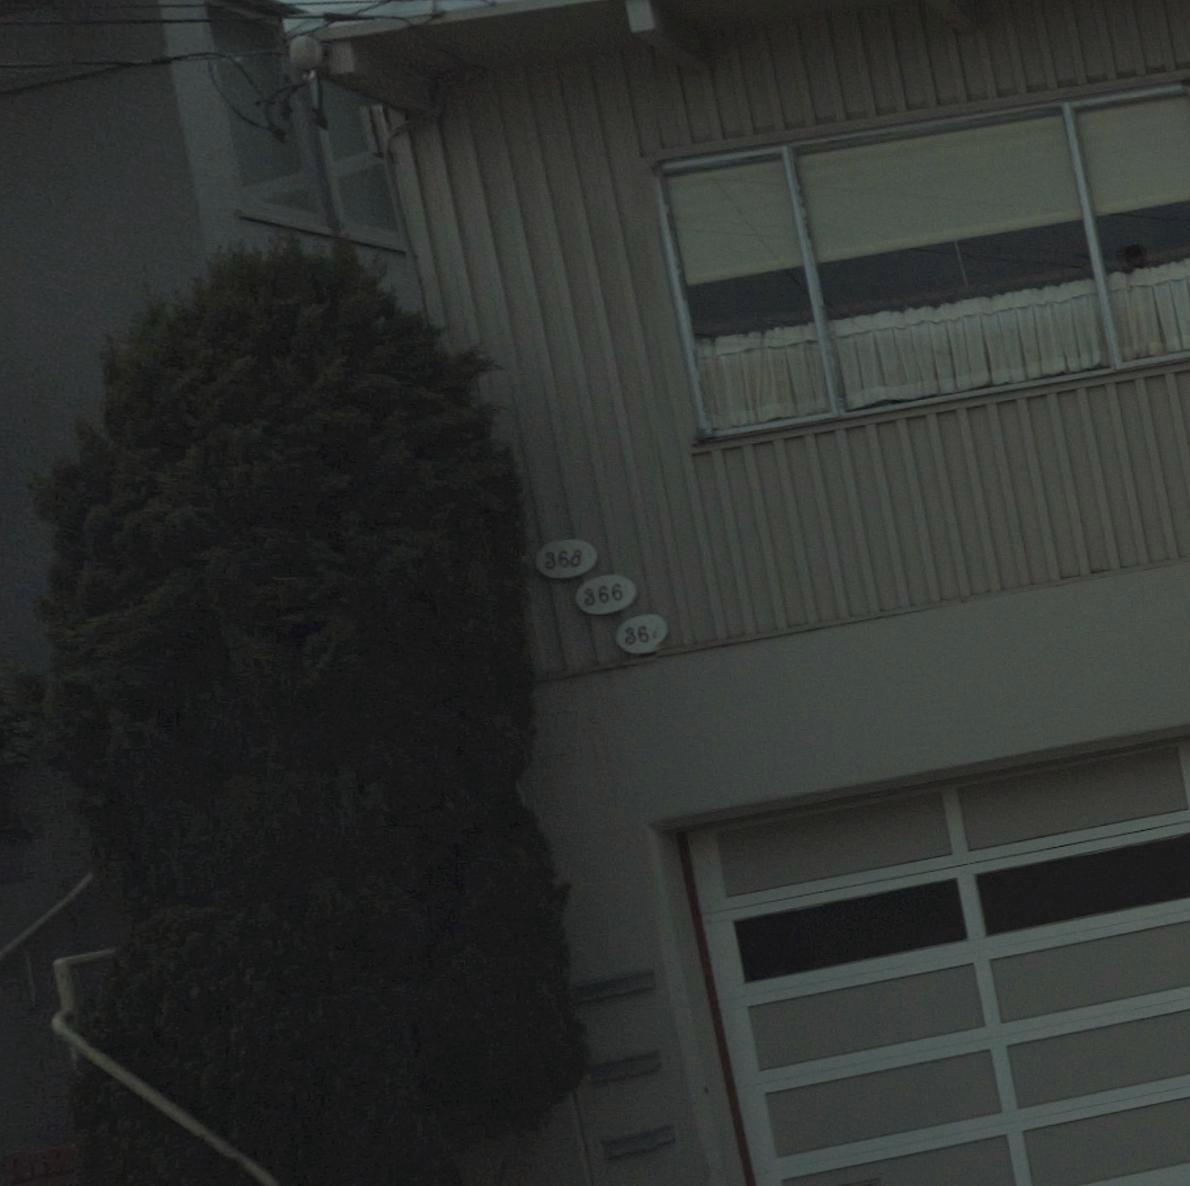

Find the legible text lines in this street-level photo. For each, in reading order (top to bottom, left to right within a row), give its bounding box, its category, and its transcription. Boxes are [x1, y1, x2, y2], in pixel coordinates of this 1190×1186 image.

[543, 548, 584, 571] StreetNumber: 368
[584, 582, 626, 607] StreetNumber: 366
[624, 622, 662, 647] StreetNumber: 36*